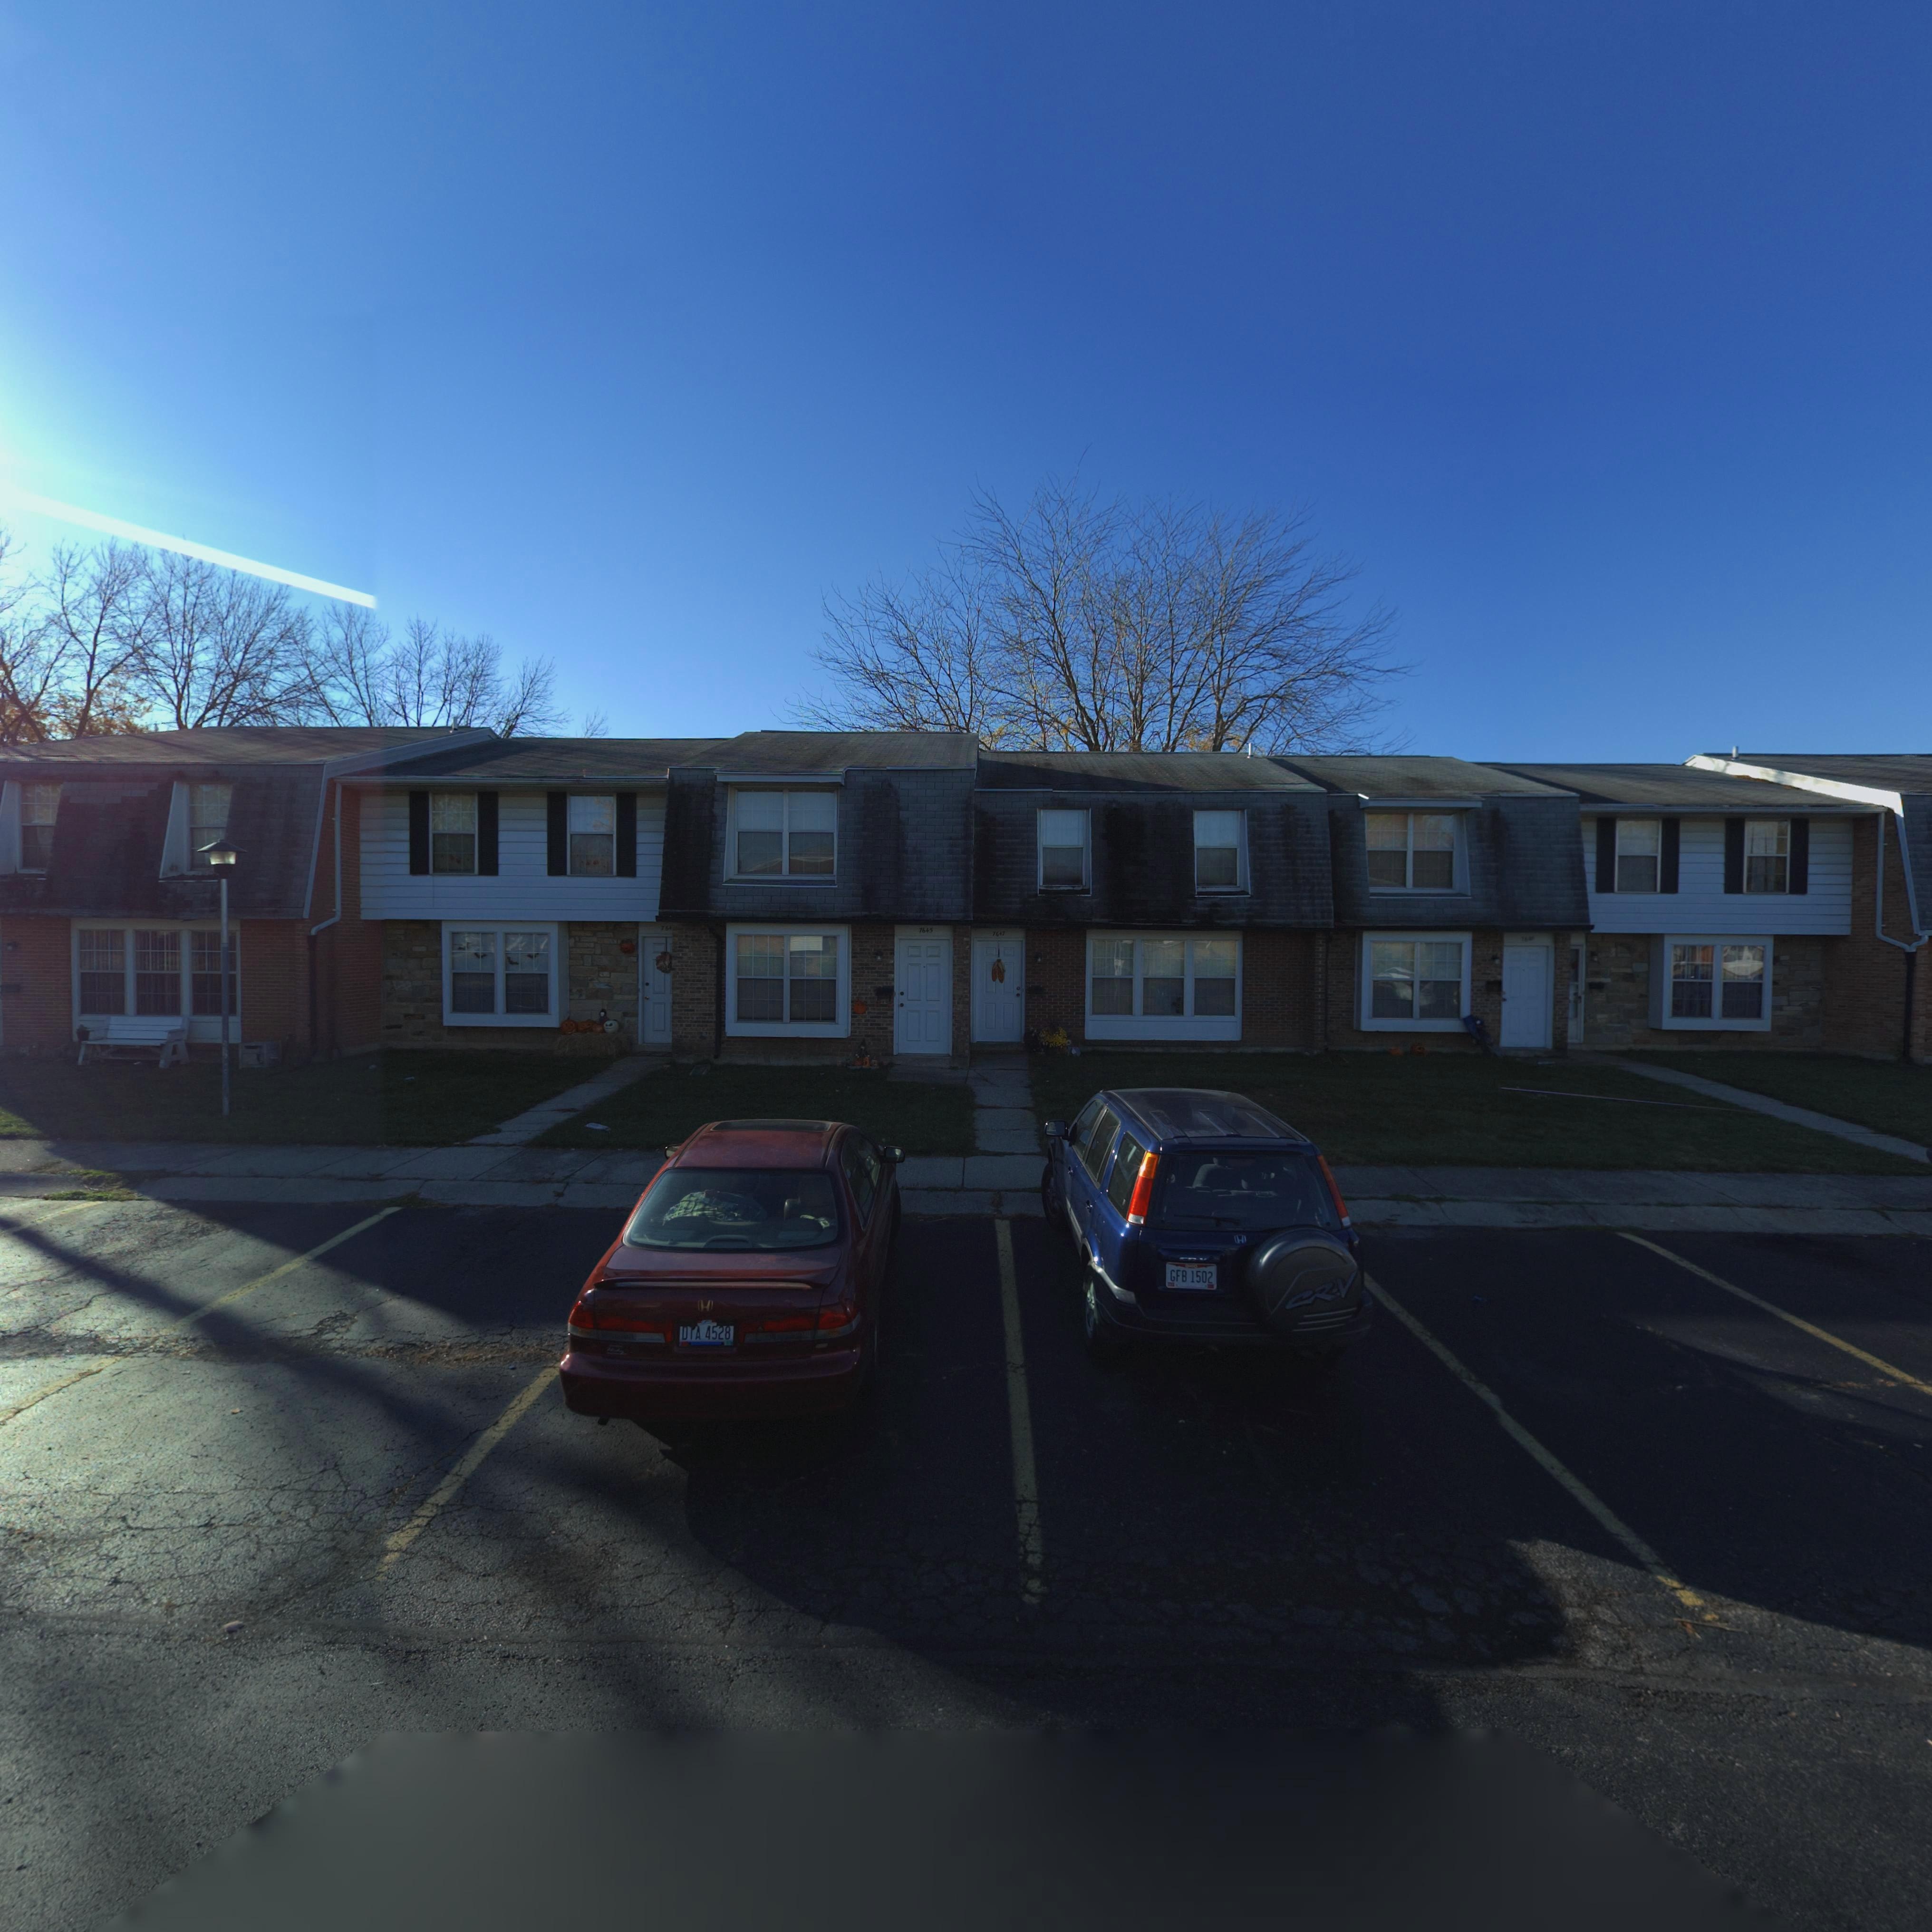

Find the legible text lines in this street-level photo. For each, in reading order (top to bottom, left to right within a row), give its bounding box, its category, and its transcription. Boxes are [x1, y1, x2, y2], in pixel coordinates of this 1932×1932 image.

[660, 925, 673, 931] StreetNumber: 764
[918, 927, 934, 934] StreetNumber: 7645
[991, 930, 1006, 937] StreetNumber: 7617
[1519, 935, 1536, 943] StreetNumber: 764*